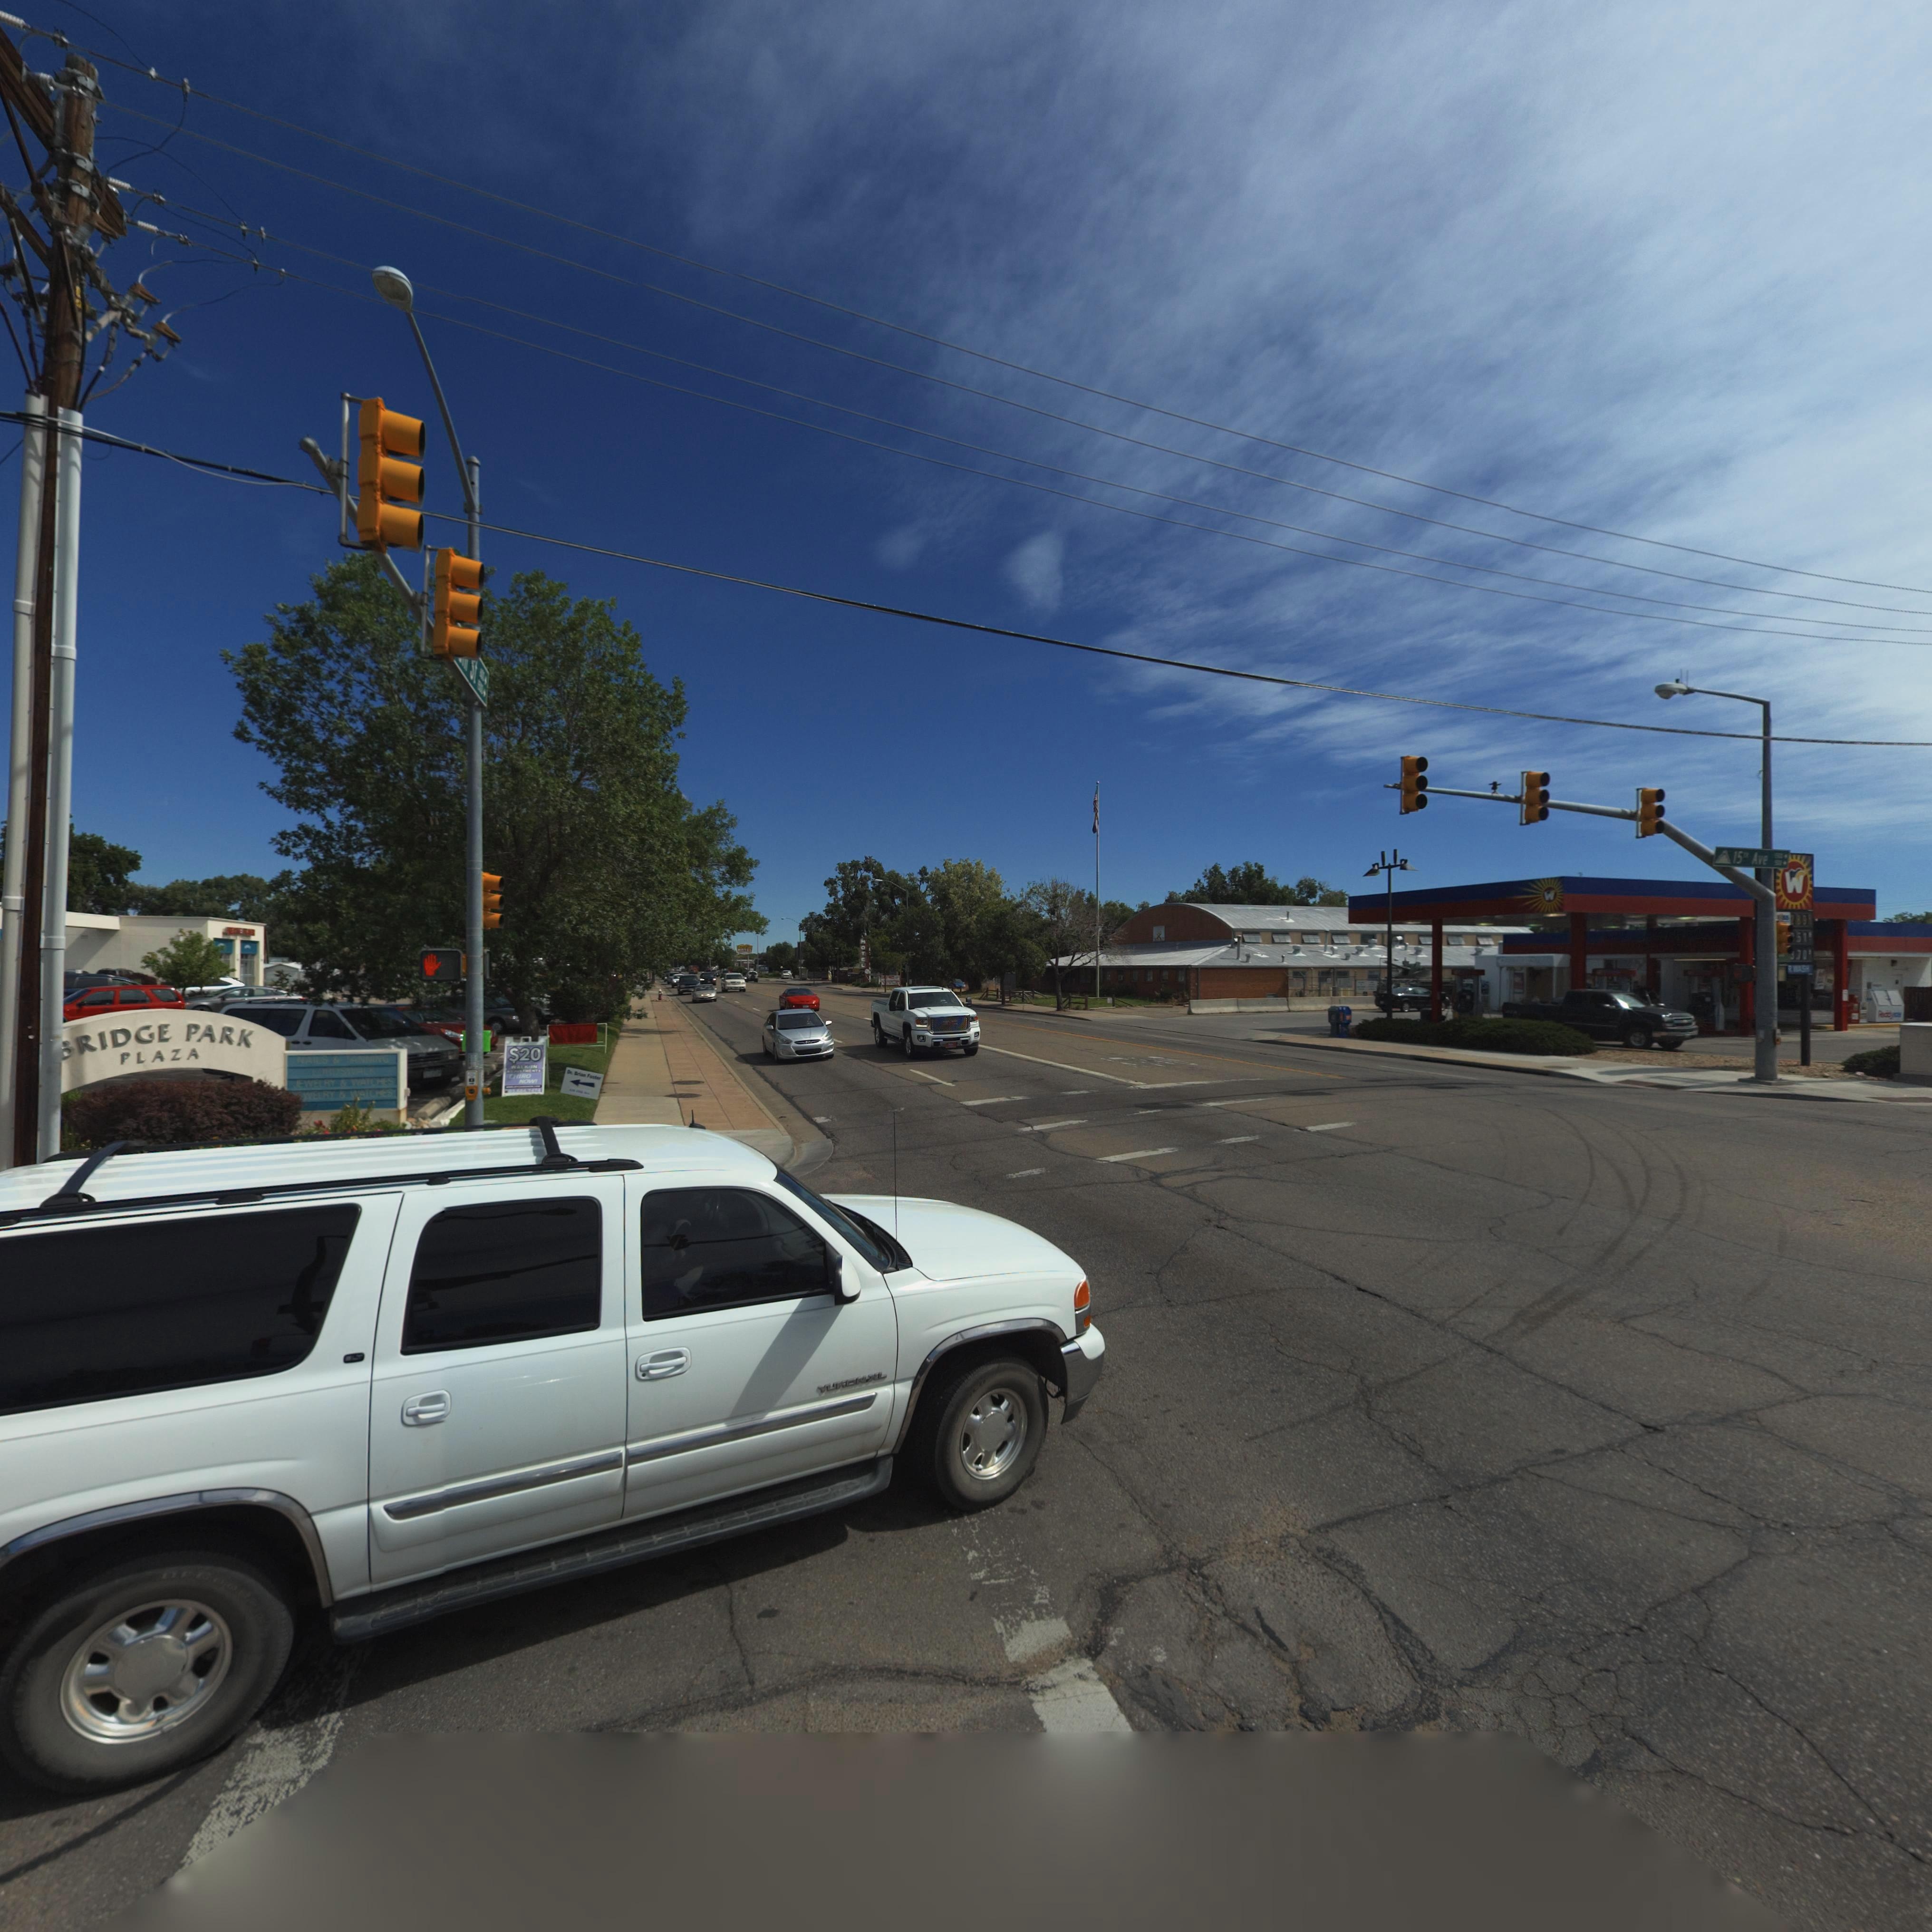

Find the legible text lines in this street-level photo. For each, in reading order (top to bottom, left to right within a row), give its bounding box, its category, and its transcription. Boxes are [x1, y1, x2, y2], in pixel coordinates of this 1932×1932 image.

[1731, 850, 1770, 866] StreetName: 15th Ave
[1783, 870, 1804, 894] BusinessName: W
[1543, 890, 1555, 900] BusinessName: W